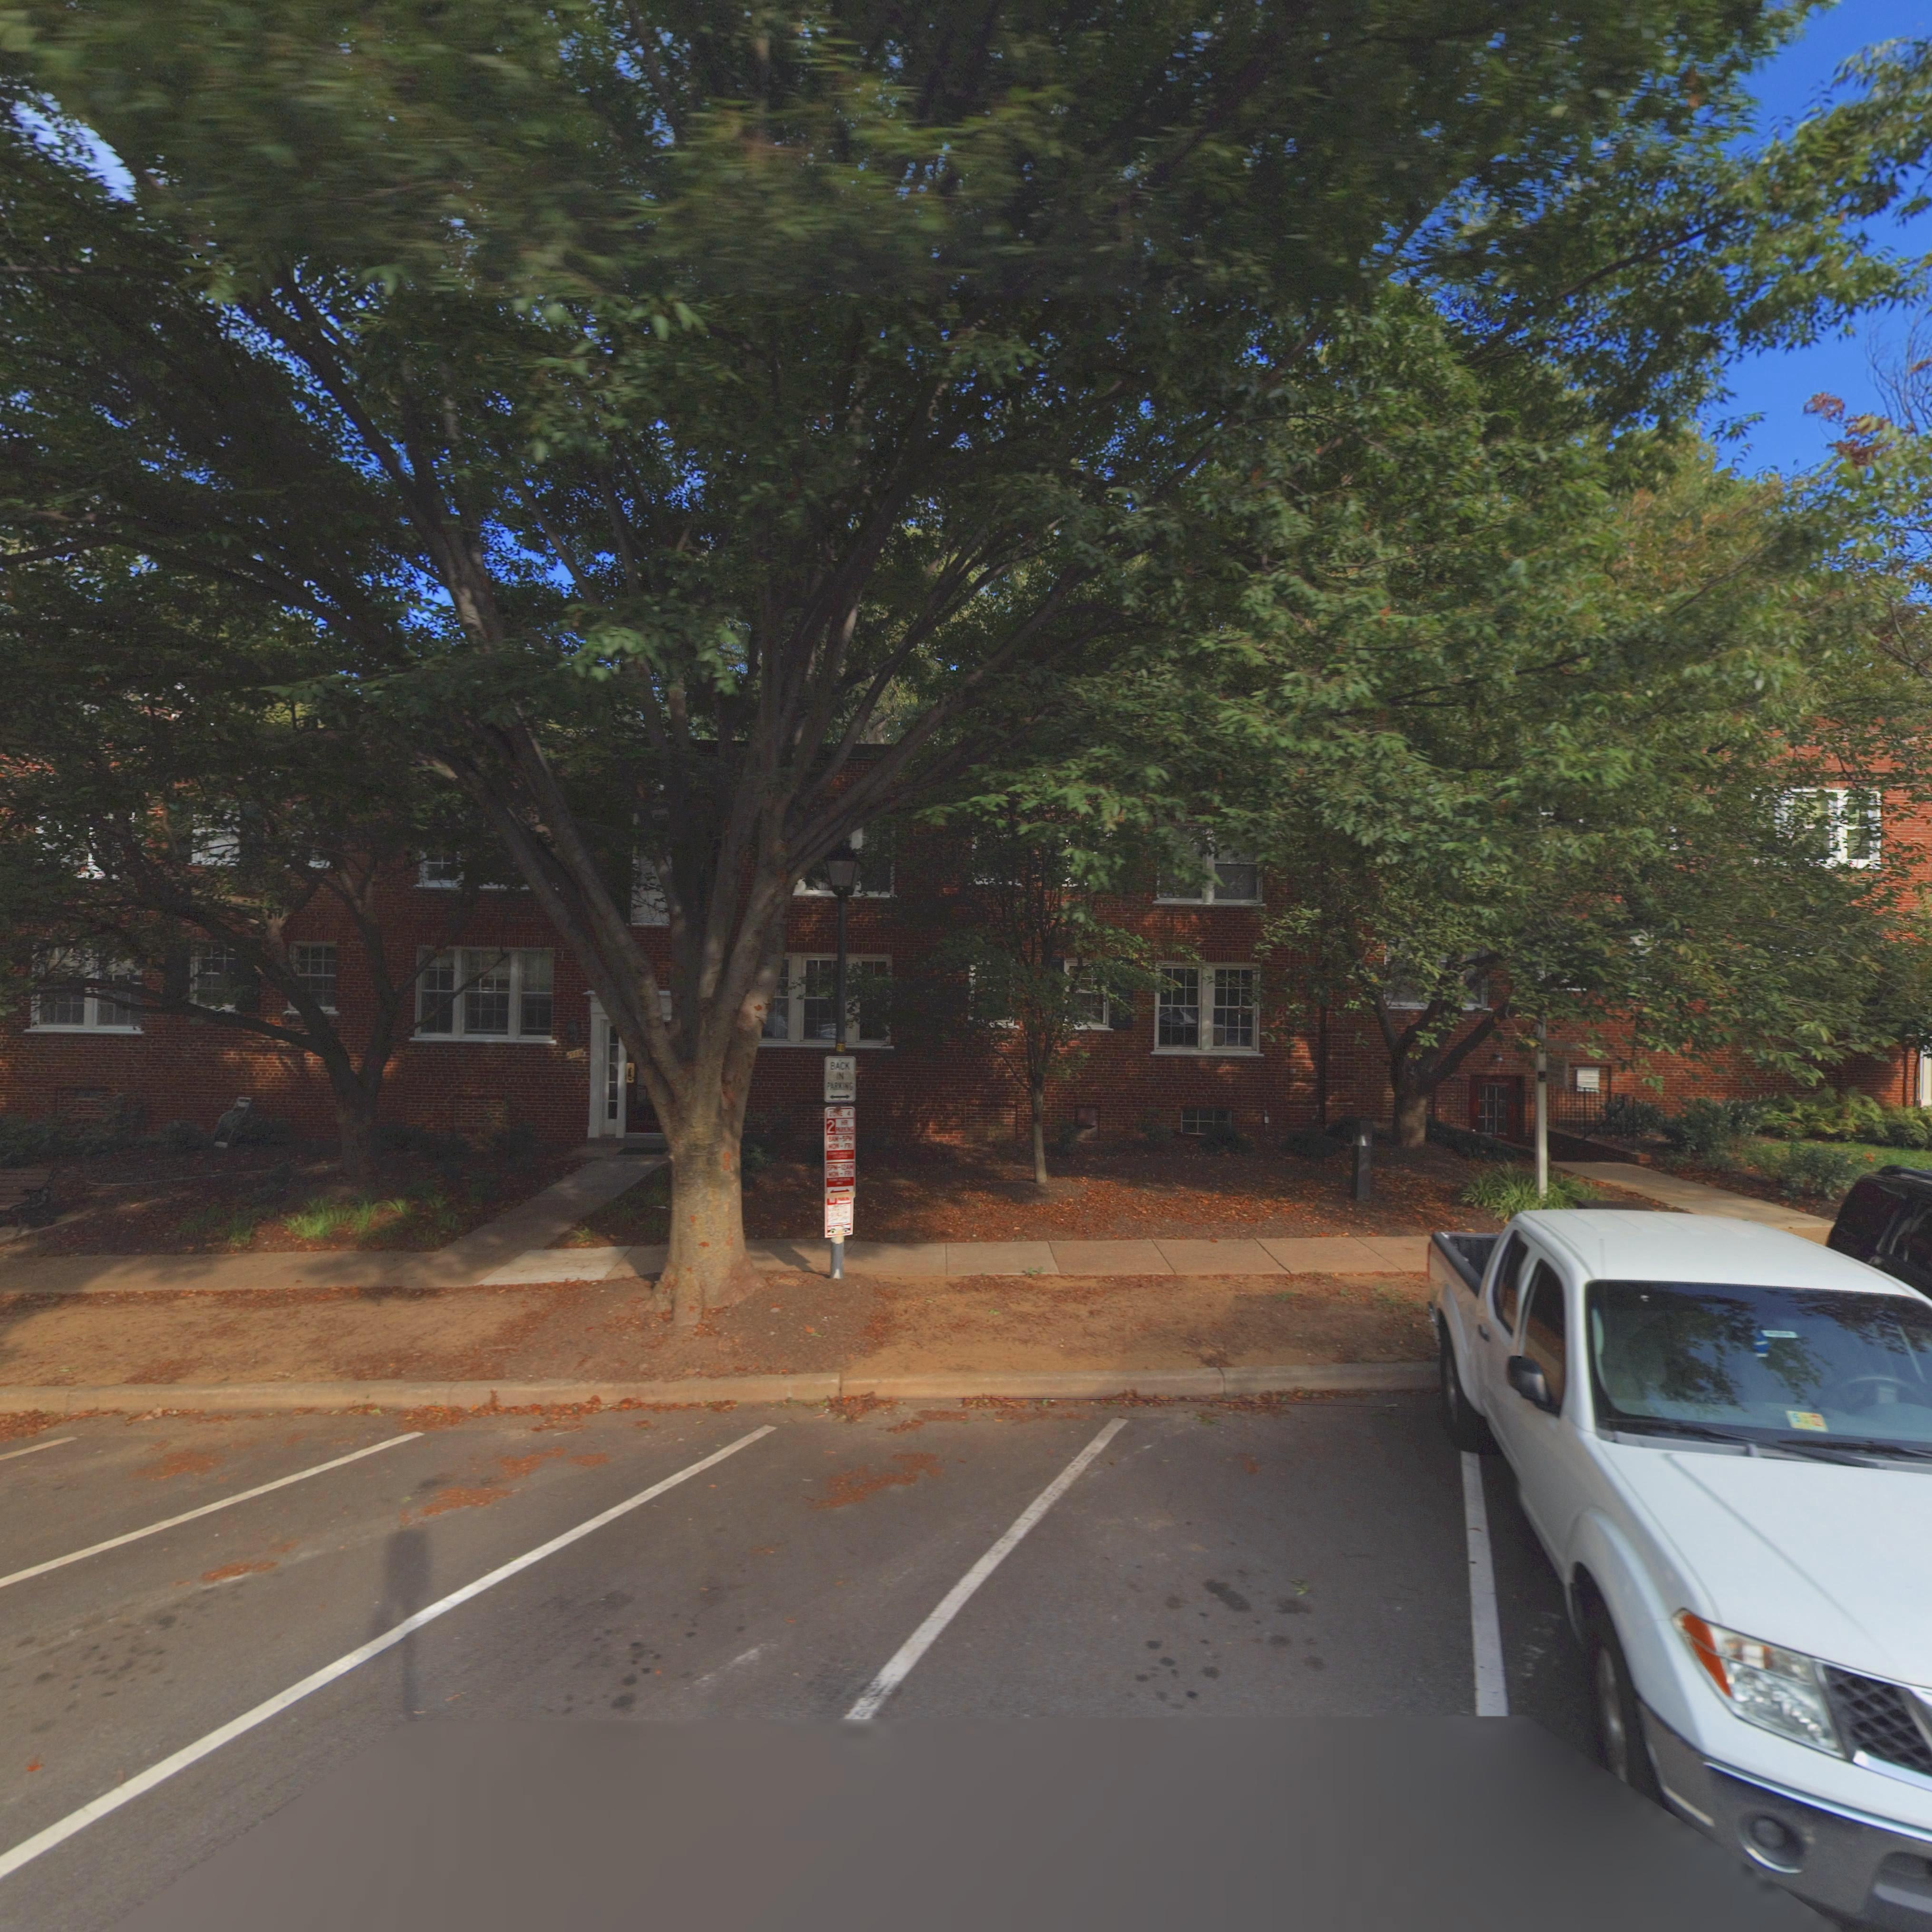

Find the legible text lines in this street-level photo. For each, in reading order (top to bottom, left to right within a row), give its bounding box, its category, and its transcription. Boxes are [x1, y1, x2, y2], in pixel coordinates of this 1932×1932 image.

[836, 1043, 845, 1052] None: 70
[829, 1060, 851, 1071] None: BACK
[835, 1071, 846, 1082] None: IN
[826, 1081, 855, 1092] None: PAR***G
[828, 1110, 851, 1118] None: Z**E 4
[826, 1118, 837, 1136] None: 2
[828, 1134, 850, 1143] None: 8AM-5P
[831, 1142, 849, 1150] None: ON- F
[826, 1163, 851, 1172] None: 5PM-12A
[831, 1169, 849, 1179] None: O*-F